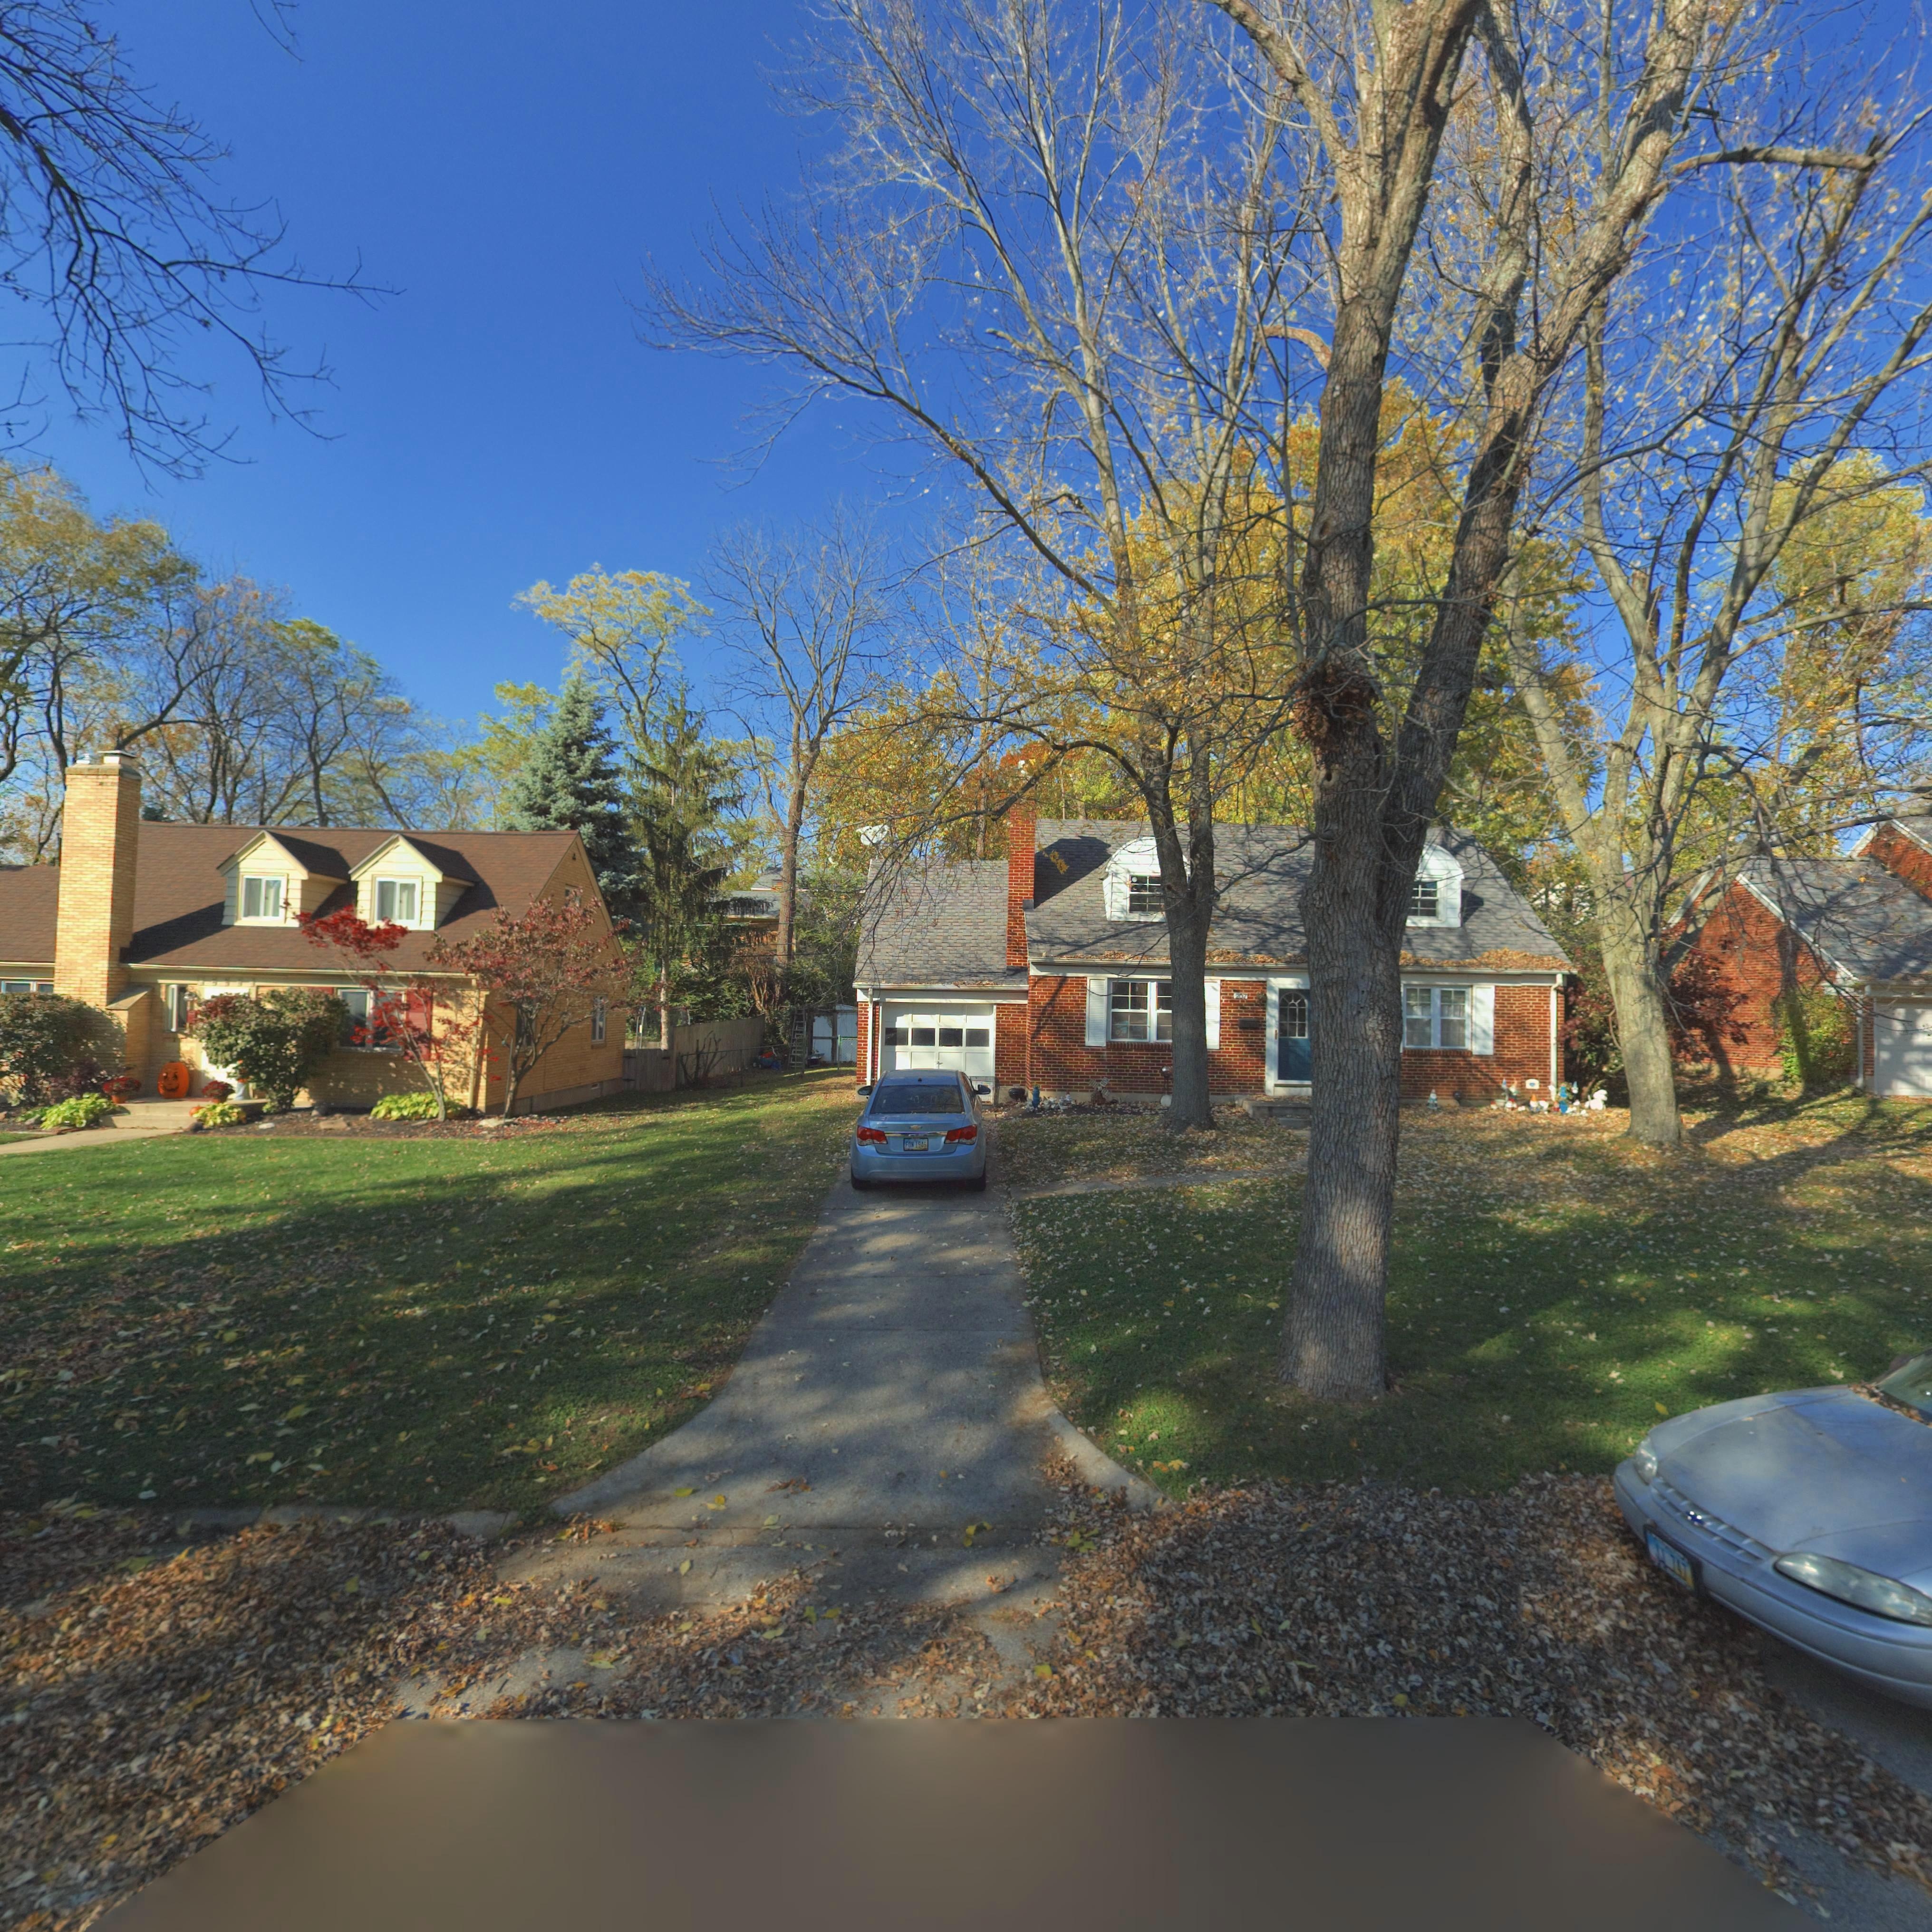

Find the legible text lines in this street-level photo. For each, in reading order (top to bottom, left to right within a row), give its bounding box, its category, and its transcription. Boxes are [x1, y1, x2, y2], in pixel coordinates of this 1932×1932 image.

[1235, 993, 1248, 1000] StreetNumber: 207